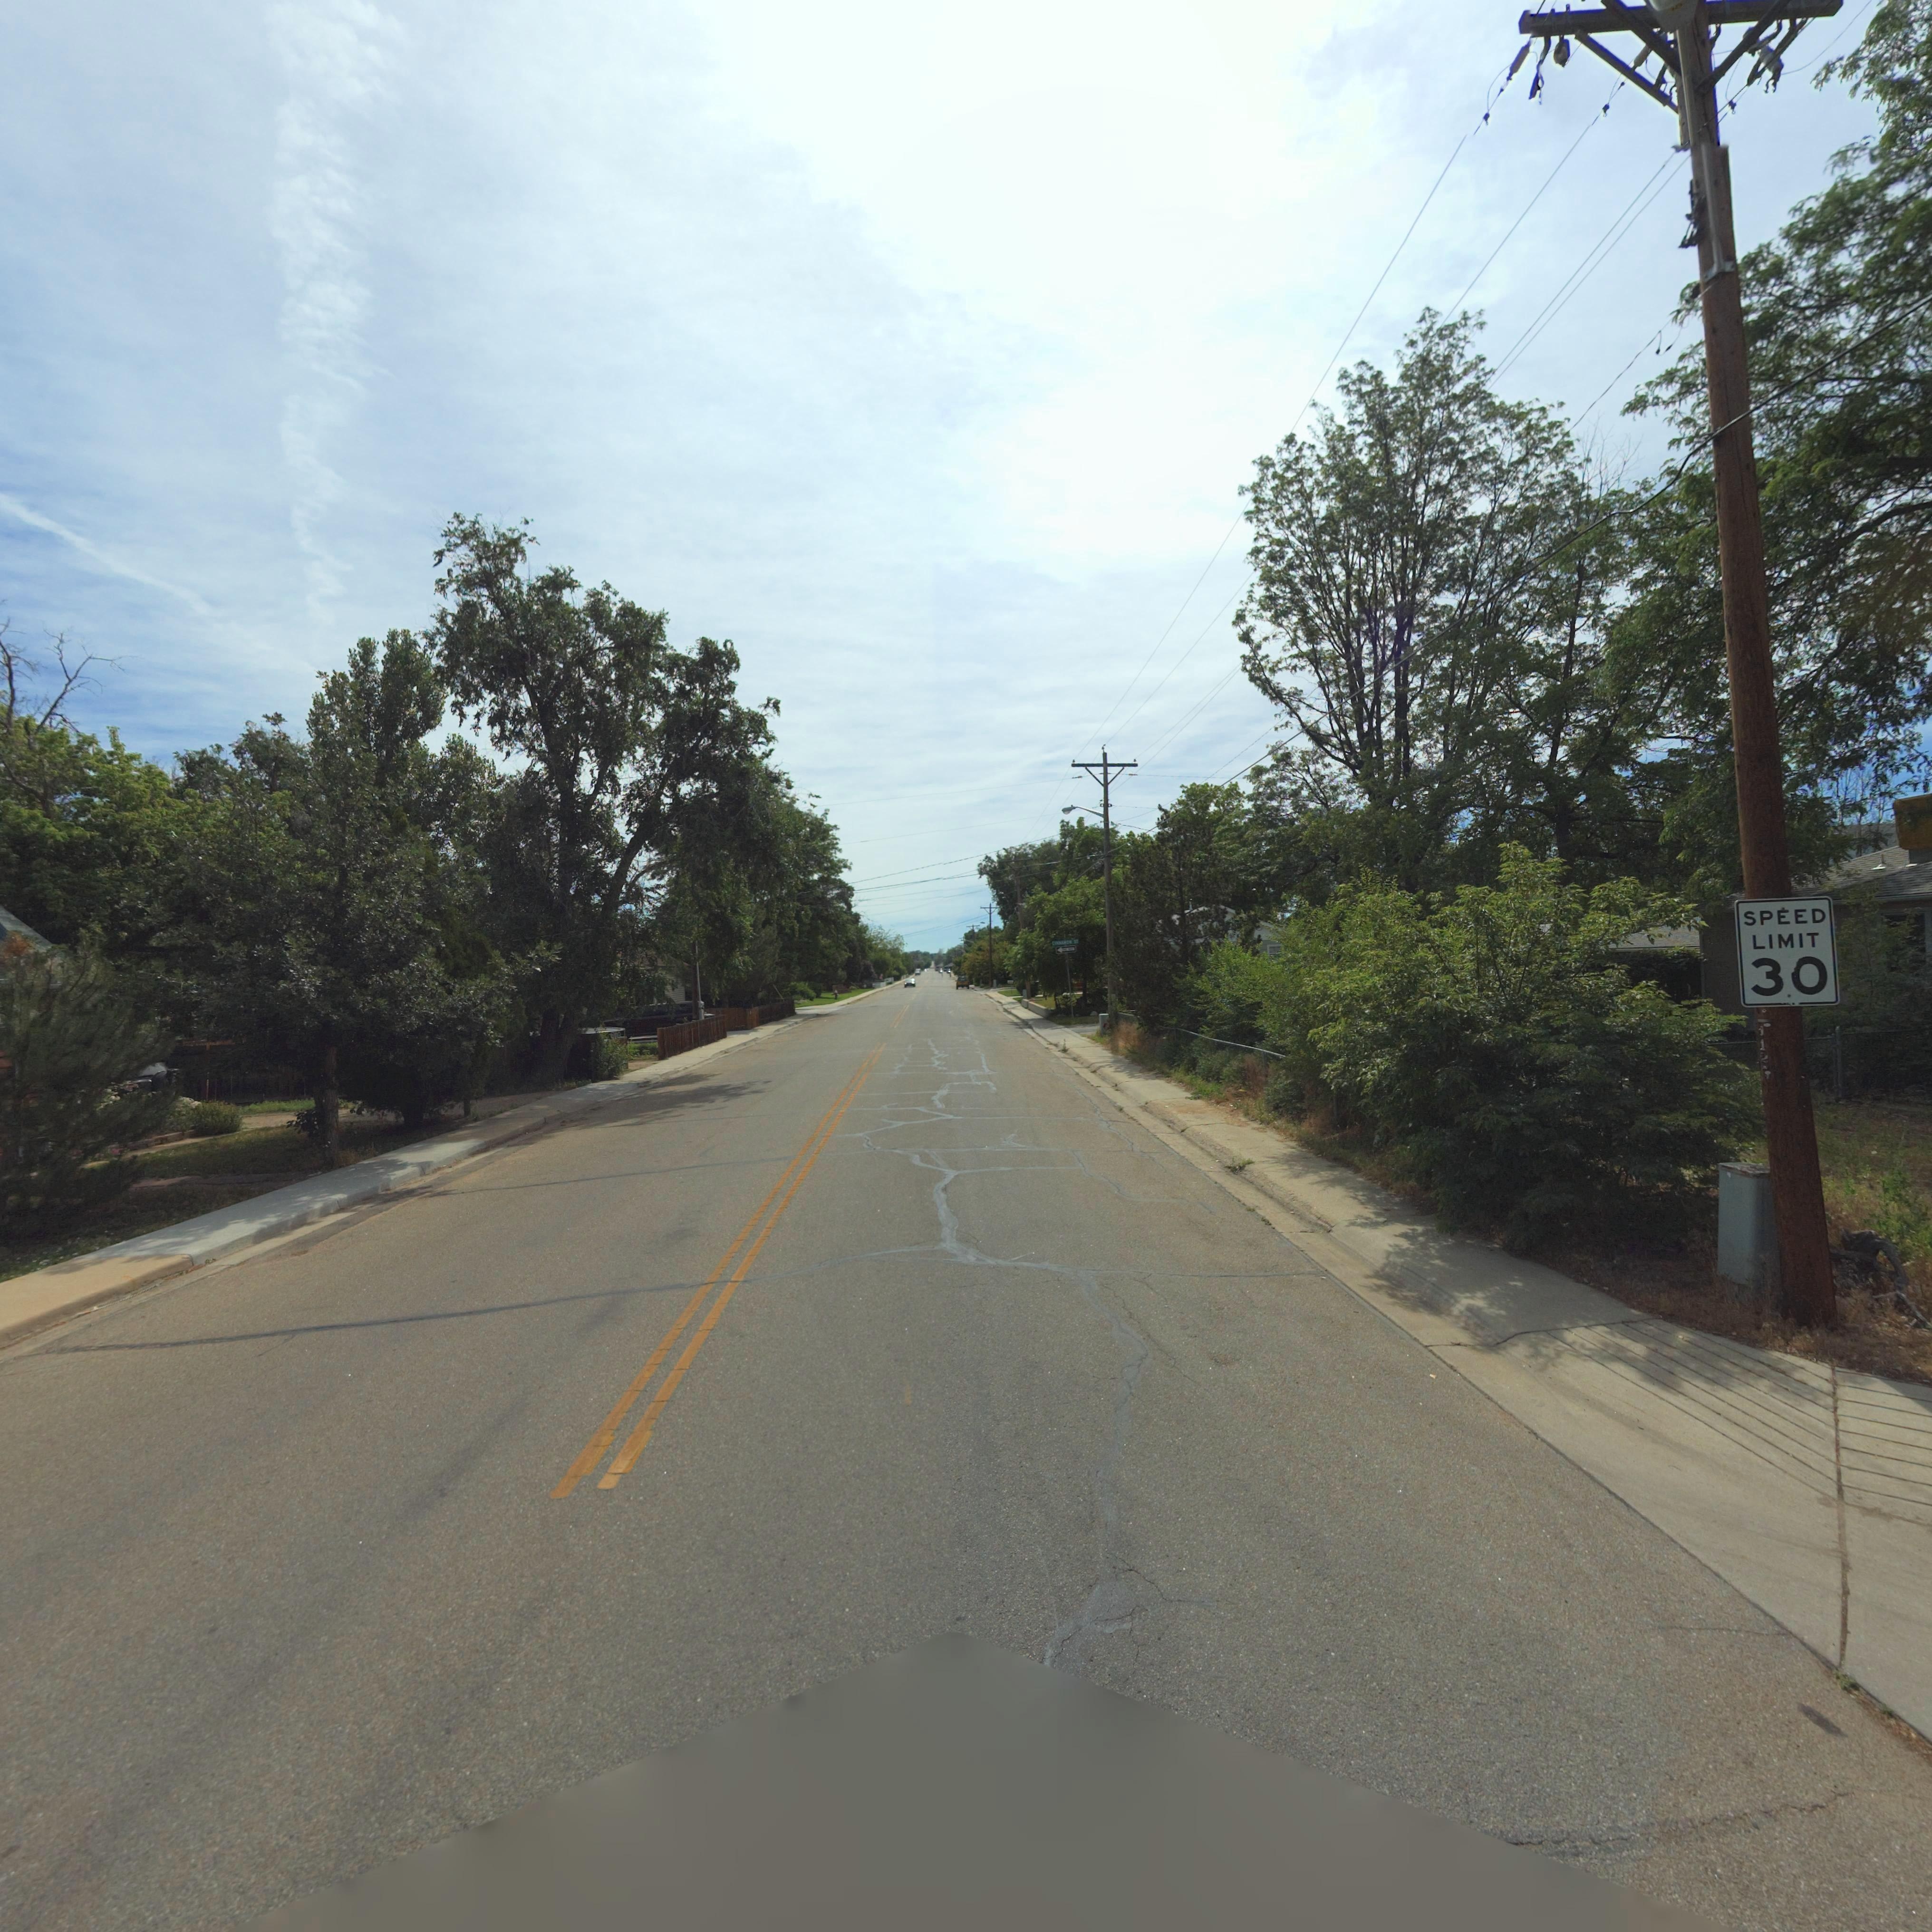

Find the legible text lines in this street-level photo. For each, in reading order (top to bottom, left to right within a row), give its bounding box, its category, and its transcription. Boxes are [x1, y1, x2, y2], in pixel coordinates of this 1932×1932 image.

[1052, 939, 1079, 946] StreetName: C*****O* ST